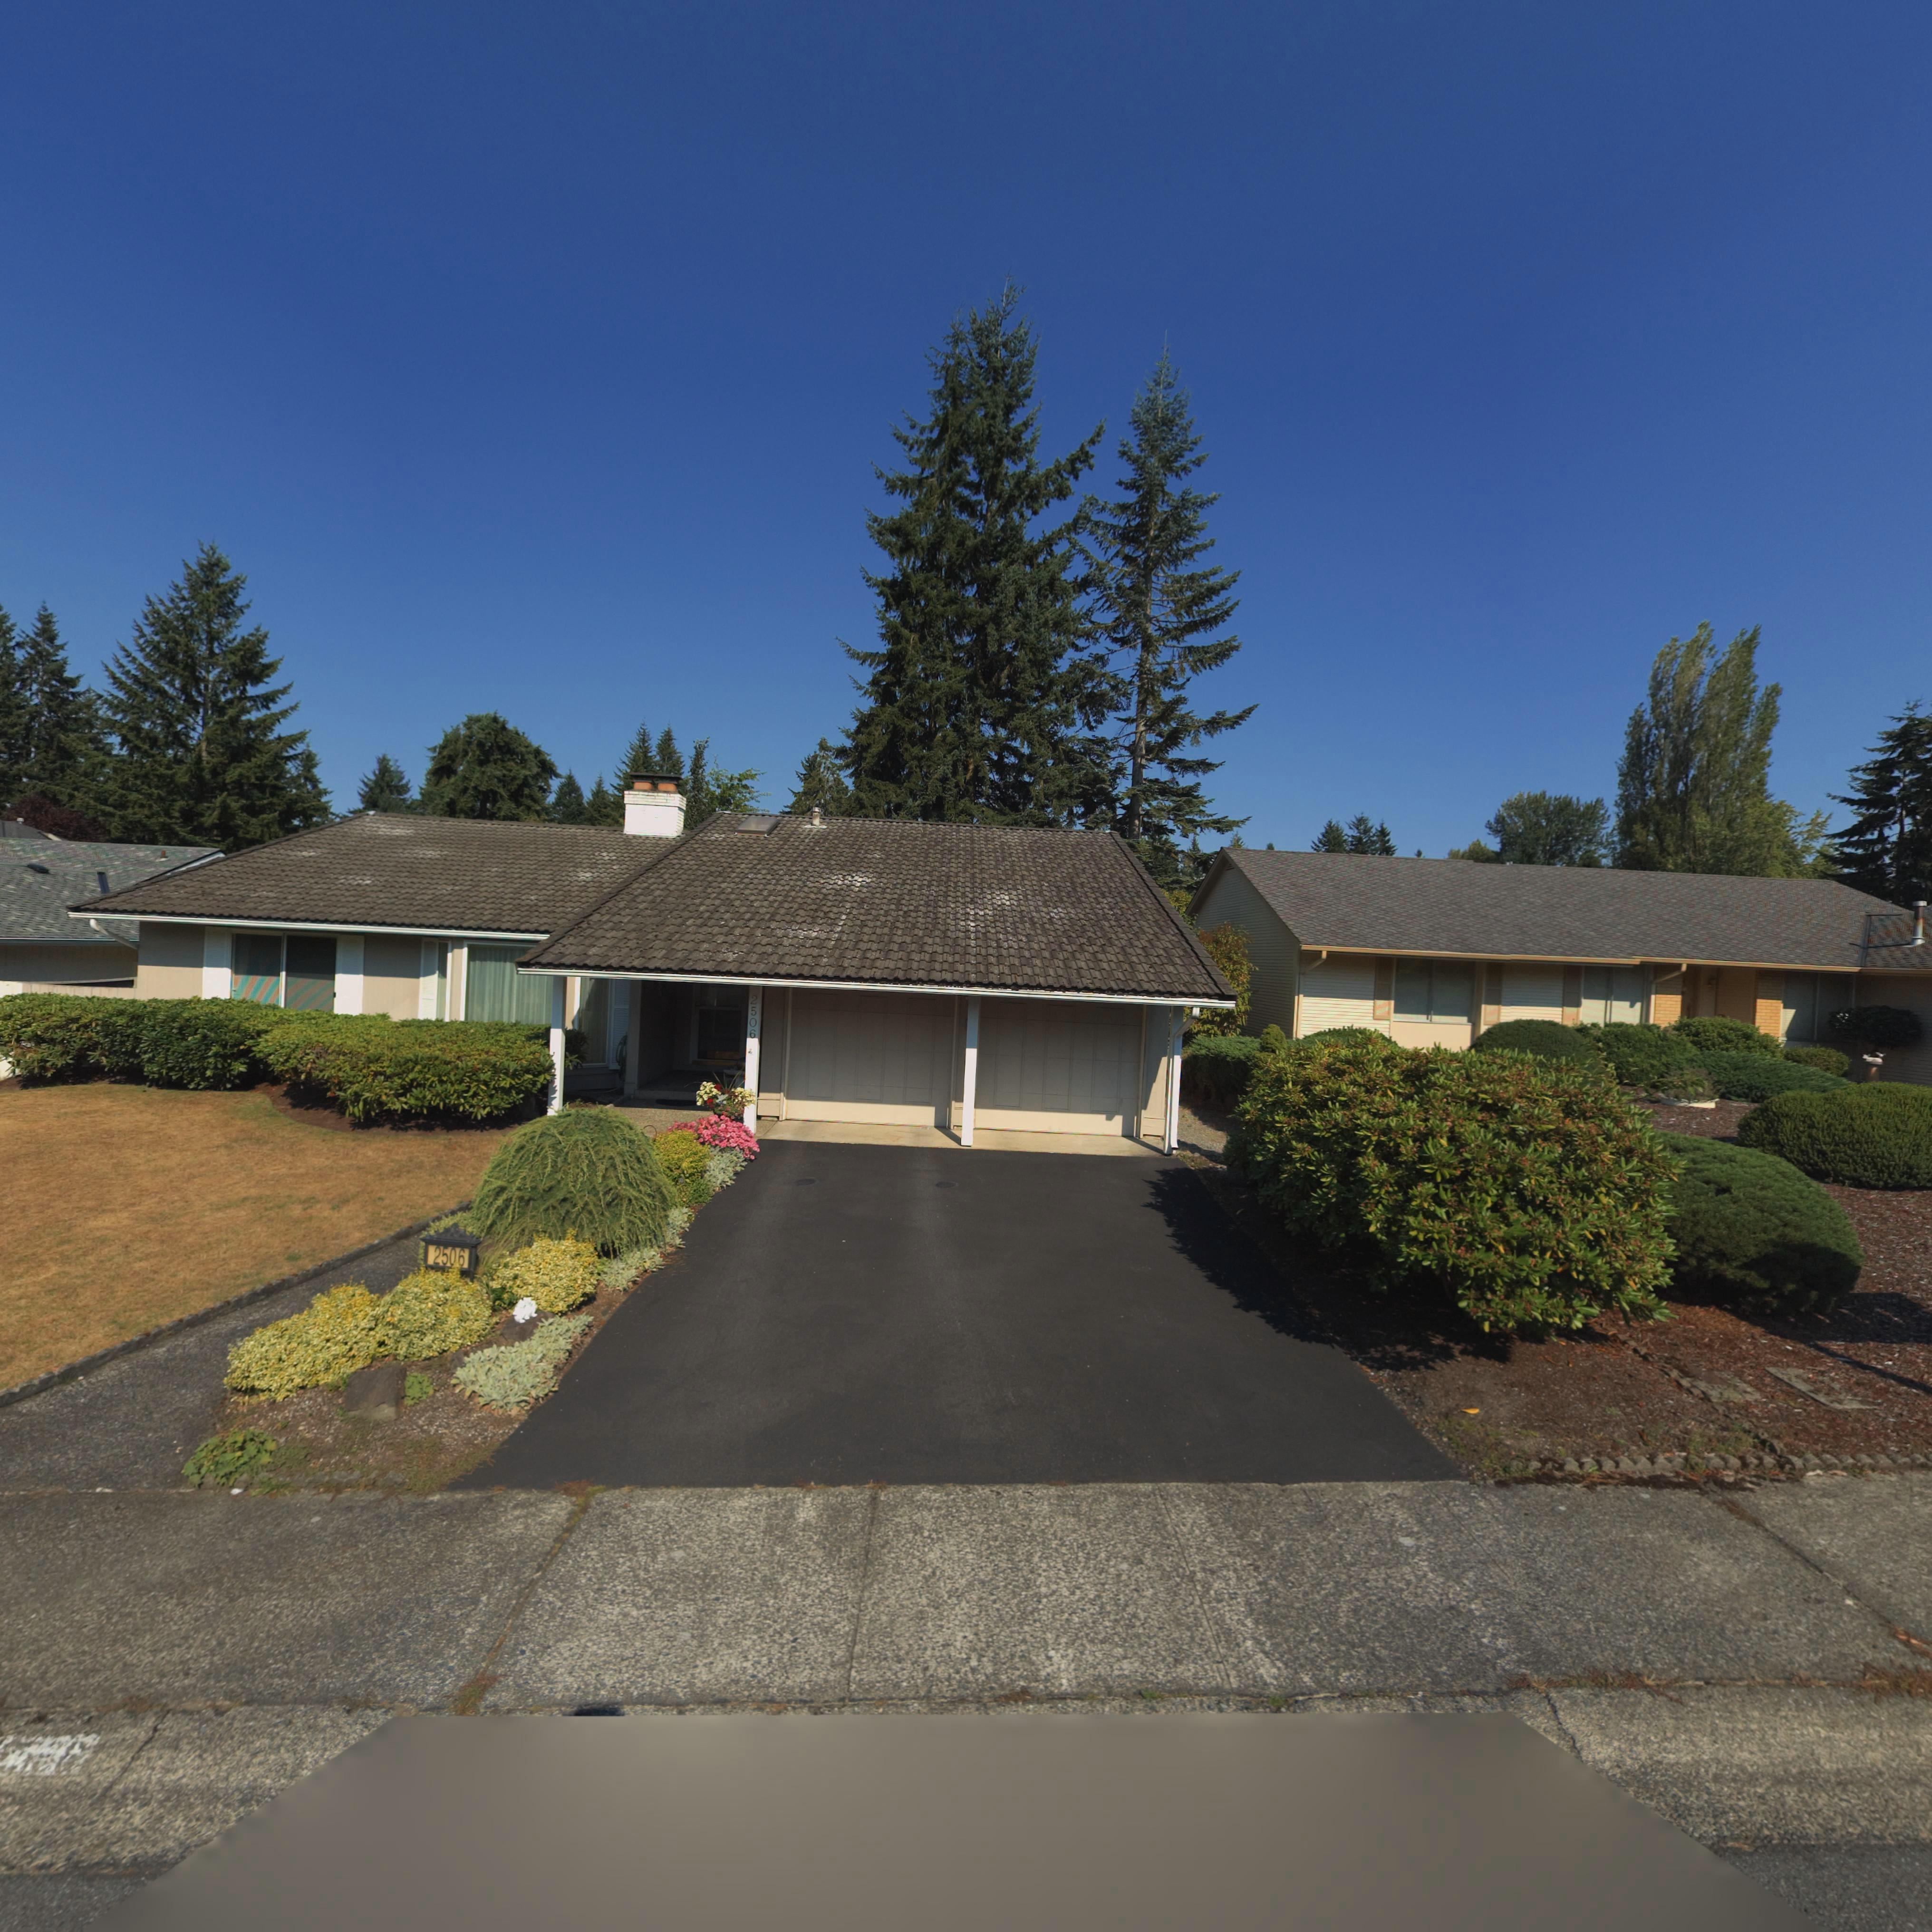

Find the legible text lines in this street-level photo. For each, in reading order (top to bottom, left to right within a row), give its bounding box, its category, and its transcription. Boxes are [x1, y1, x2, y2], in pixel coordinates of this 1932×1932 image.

[747, 994, 759, 1038] StreetNumber: 2506
[432, 1244, 466, 1268] StreetNumber: 2506